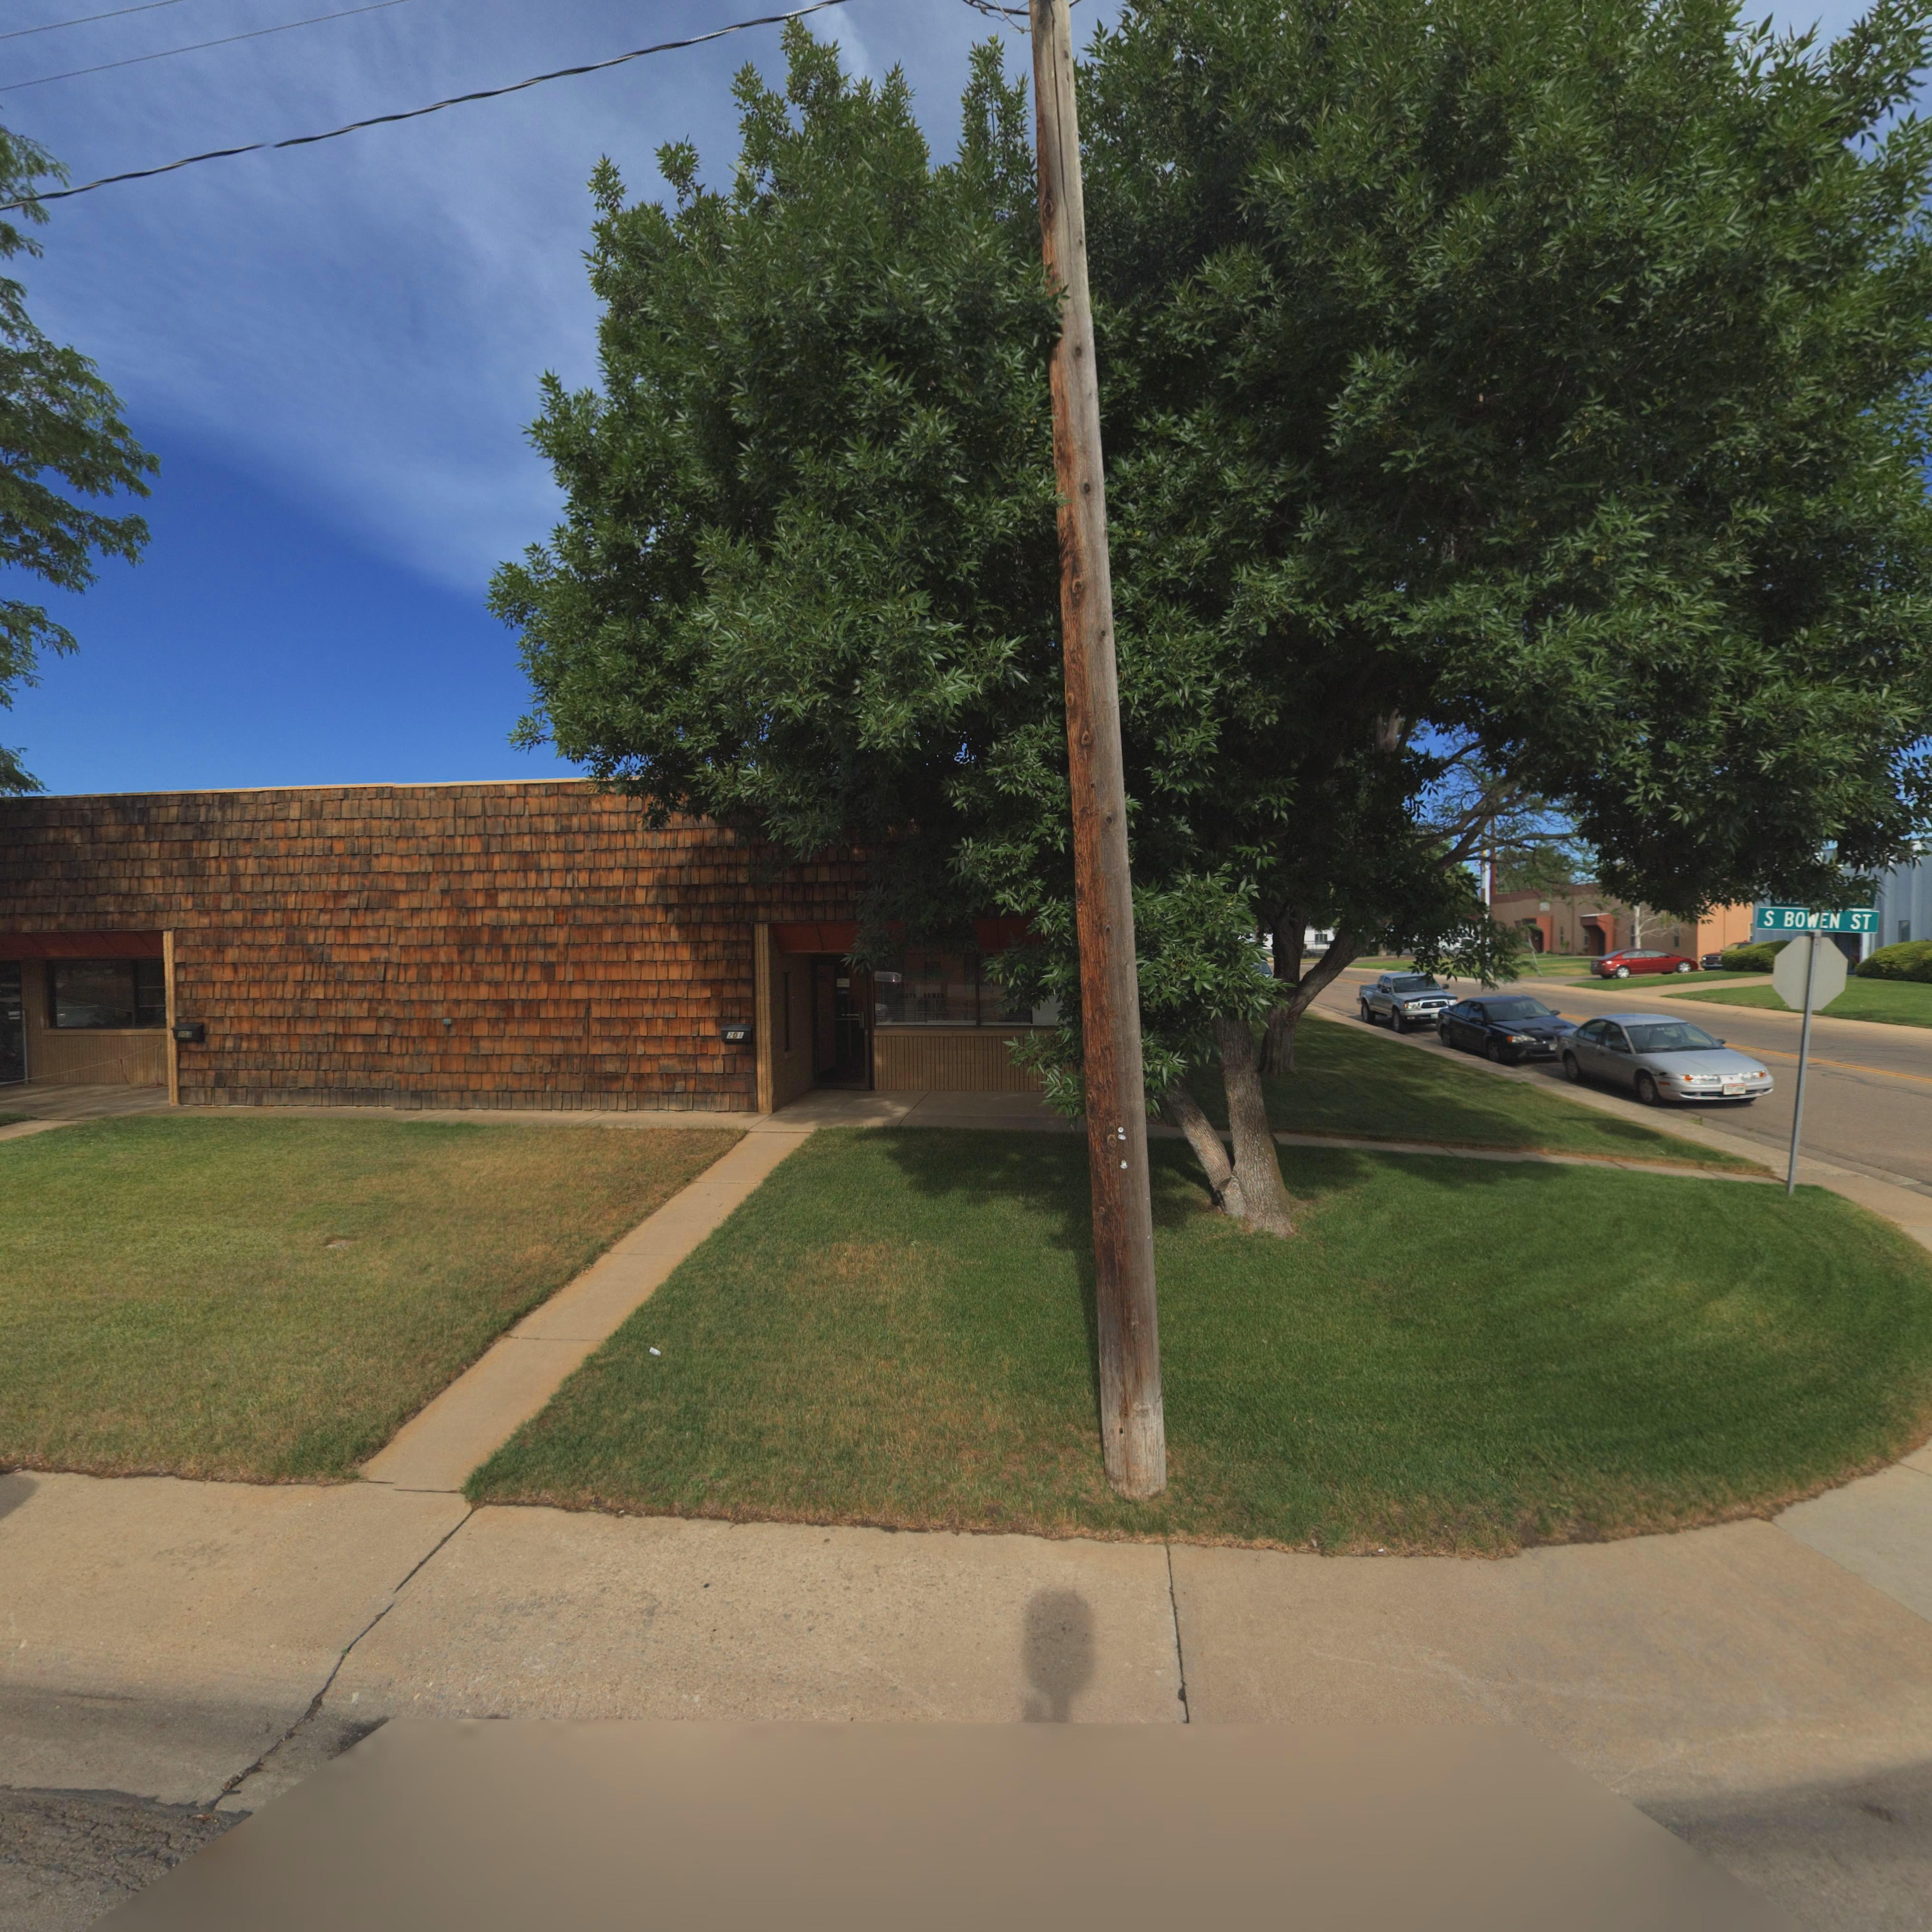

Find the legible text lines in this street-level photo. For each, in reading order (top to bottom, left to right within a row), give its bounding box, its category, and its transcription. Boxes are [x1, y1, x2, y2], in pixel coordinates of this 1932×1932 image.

[1764, 910, 1872, 930] StreetName: S BOWEN ST
[896, 982, 908, 989] StreetNumber: 301
[895, 992, 946, 999] StreetName: SOUTH BOWEN
[177, 1031, 192, 1038] StreetNumber: 203
[727, 1032, 742, 1038] StreetNumber: 201